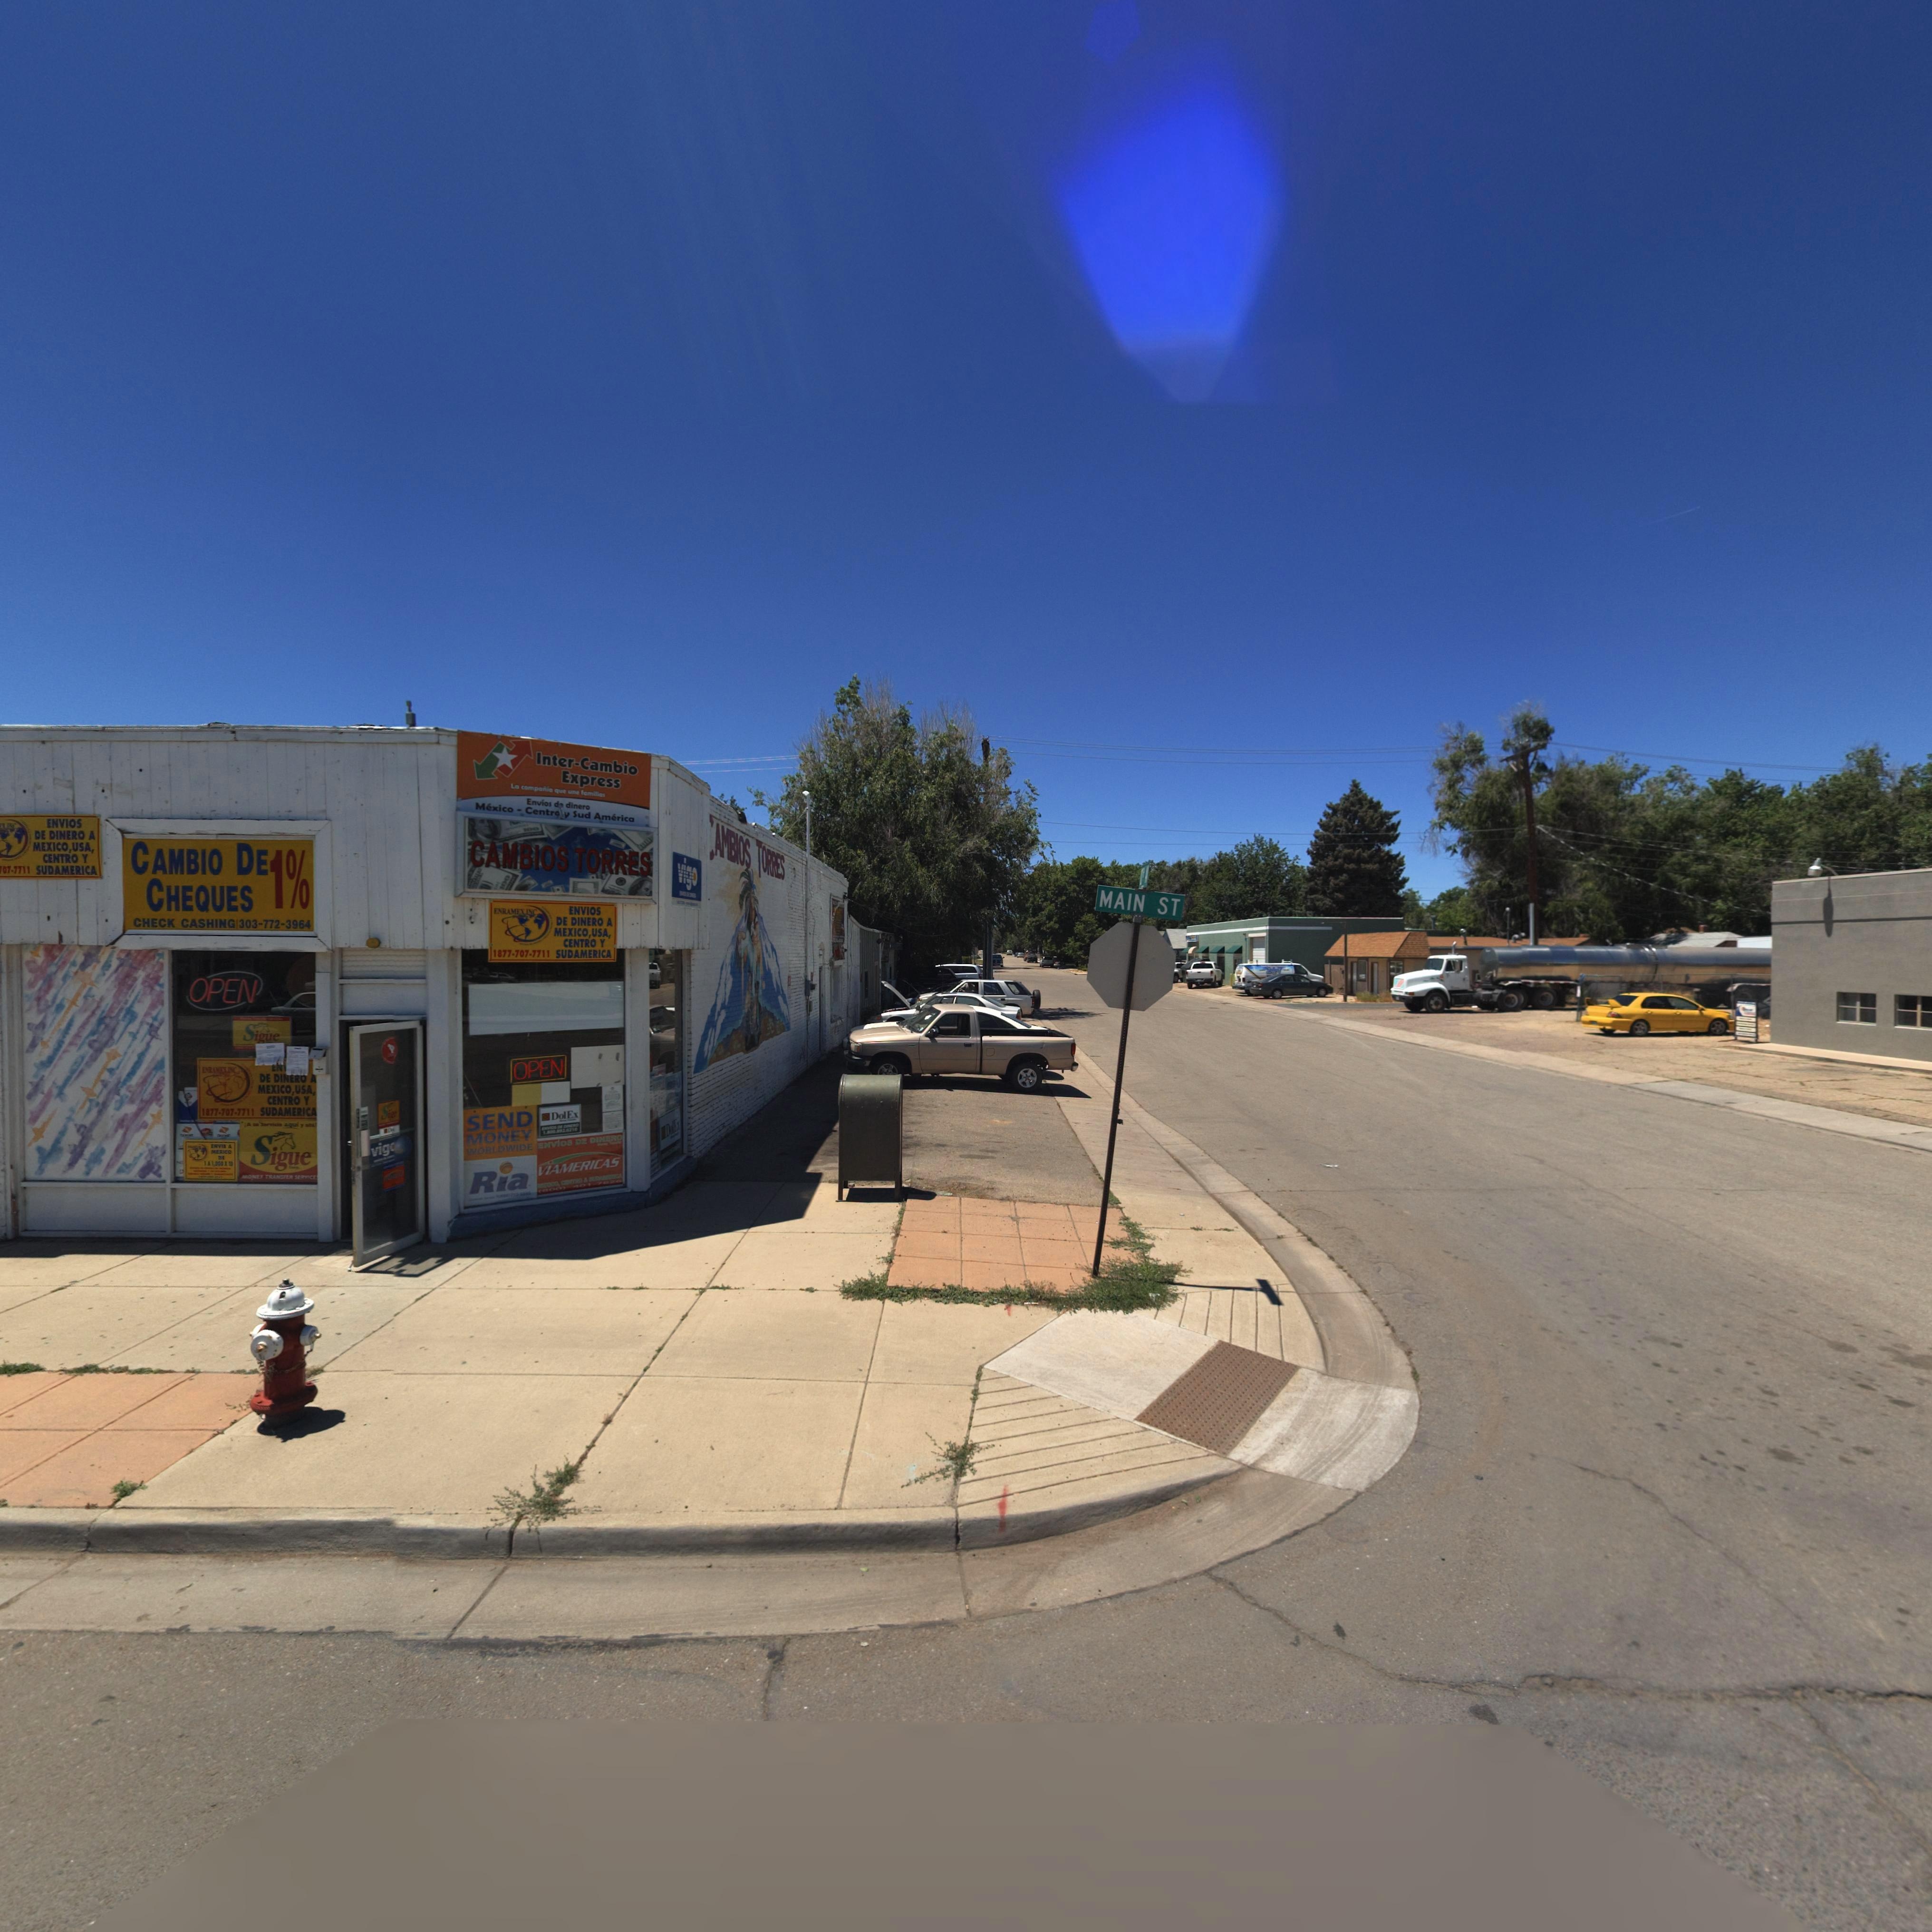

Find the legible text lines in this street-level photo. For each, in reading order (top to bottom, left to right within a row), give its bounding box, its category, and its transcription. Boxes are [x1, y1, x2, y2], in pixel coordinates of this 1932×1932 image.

[1139, 864, 1149, 886] StreetName: 1*** A*
[1098, 889, 1182, 917] StreetName: MAIN ST